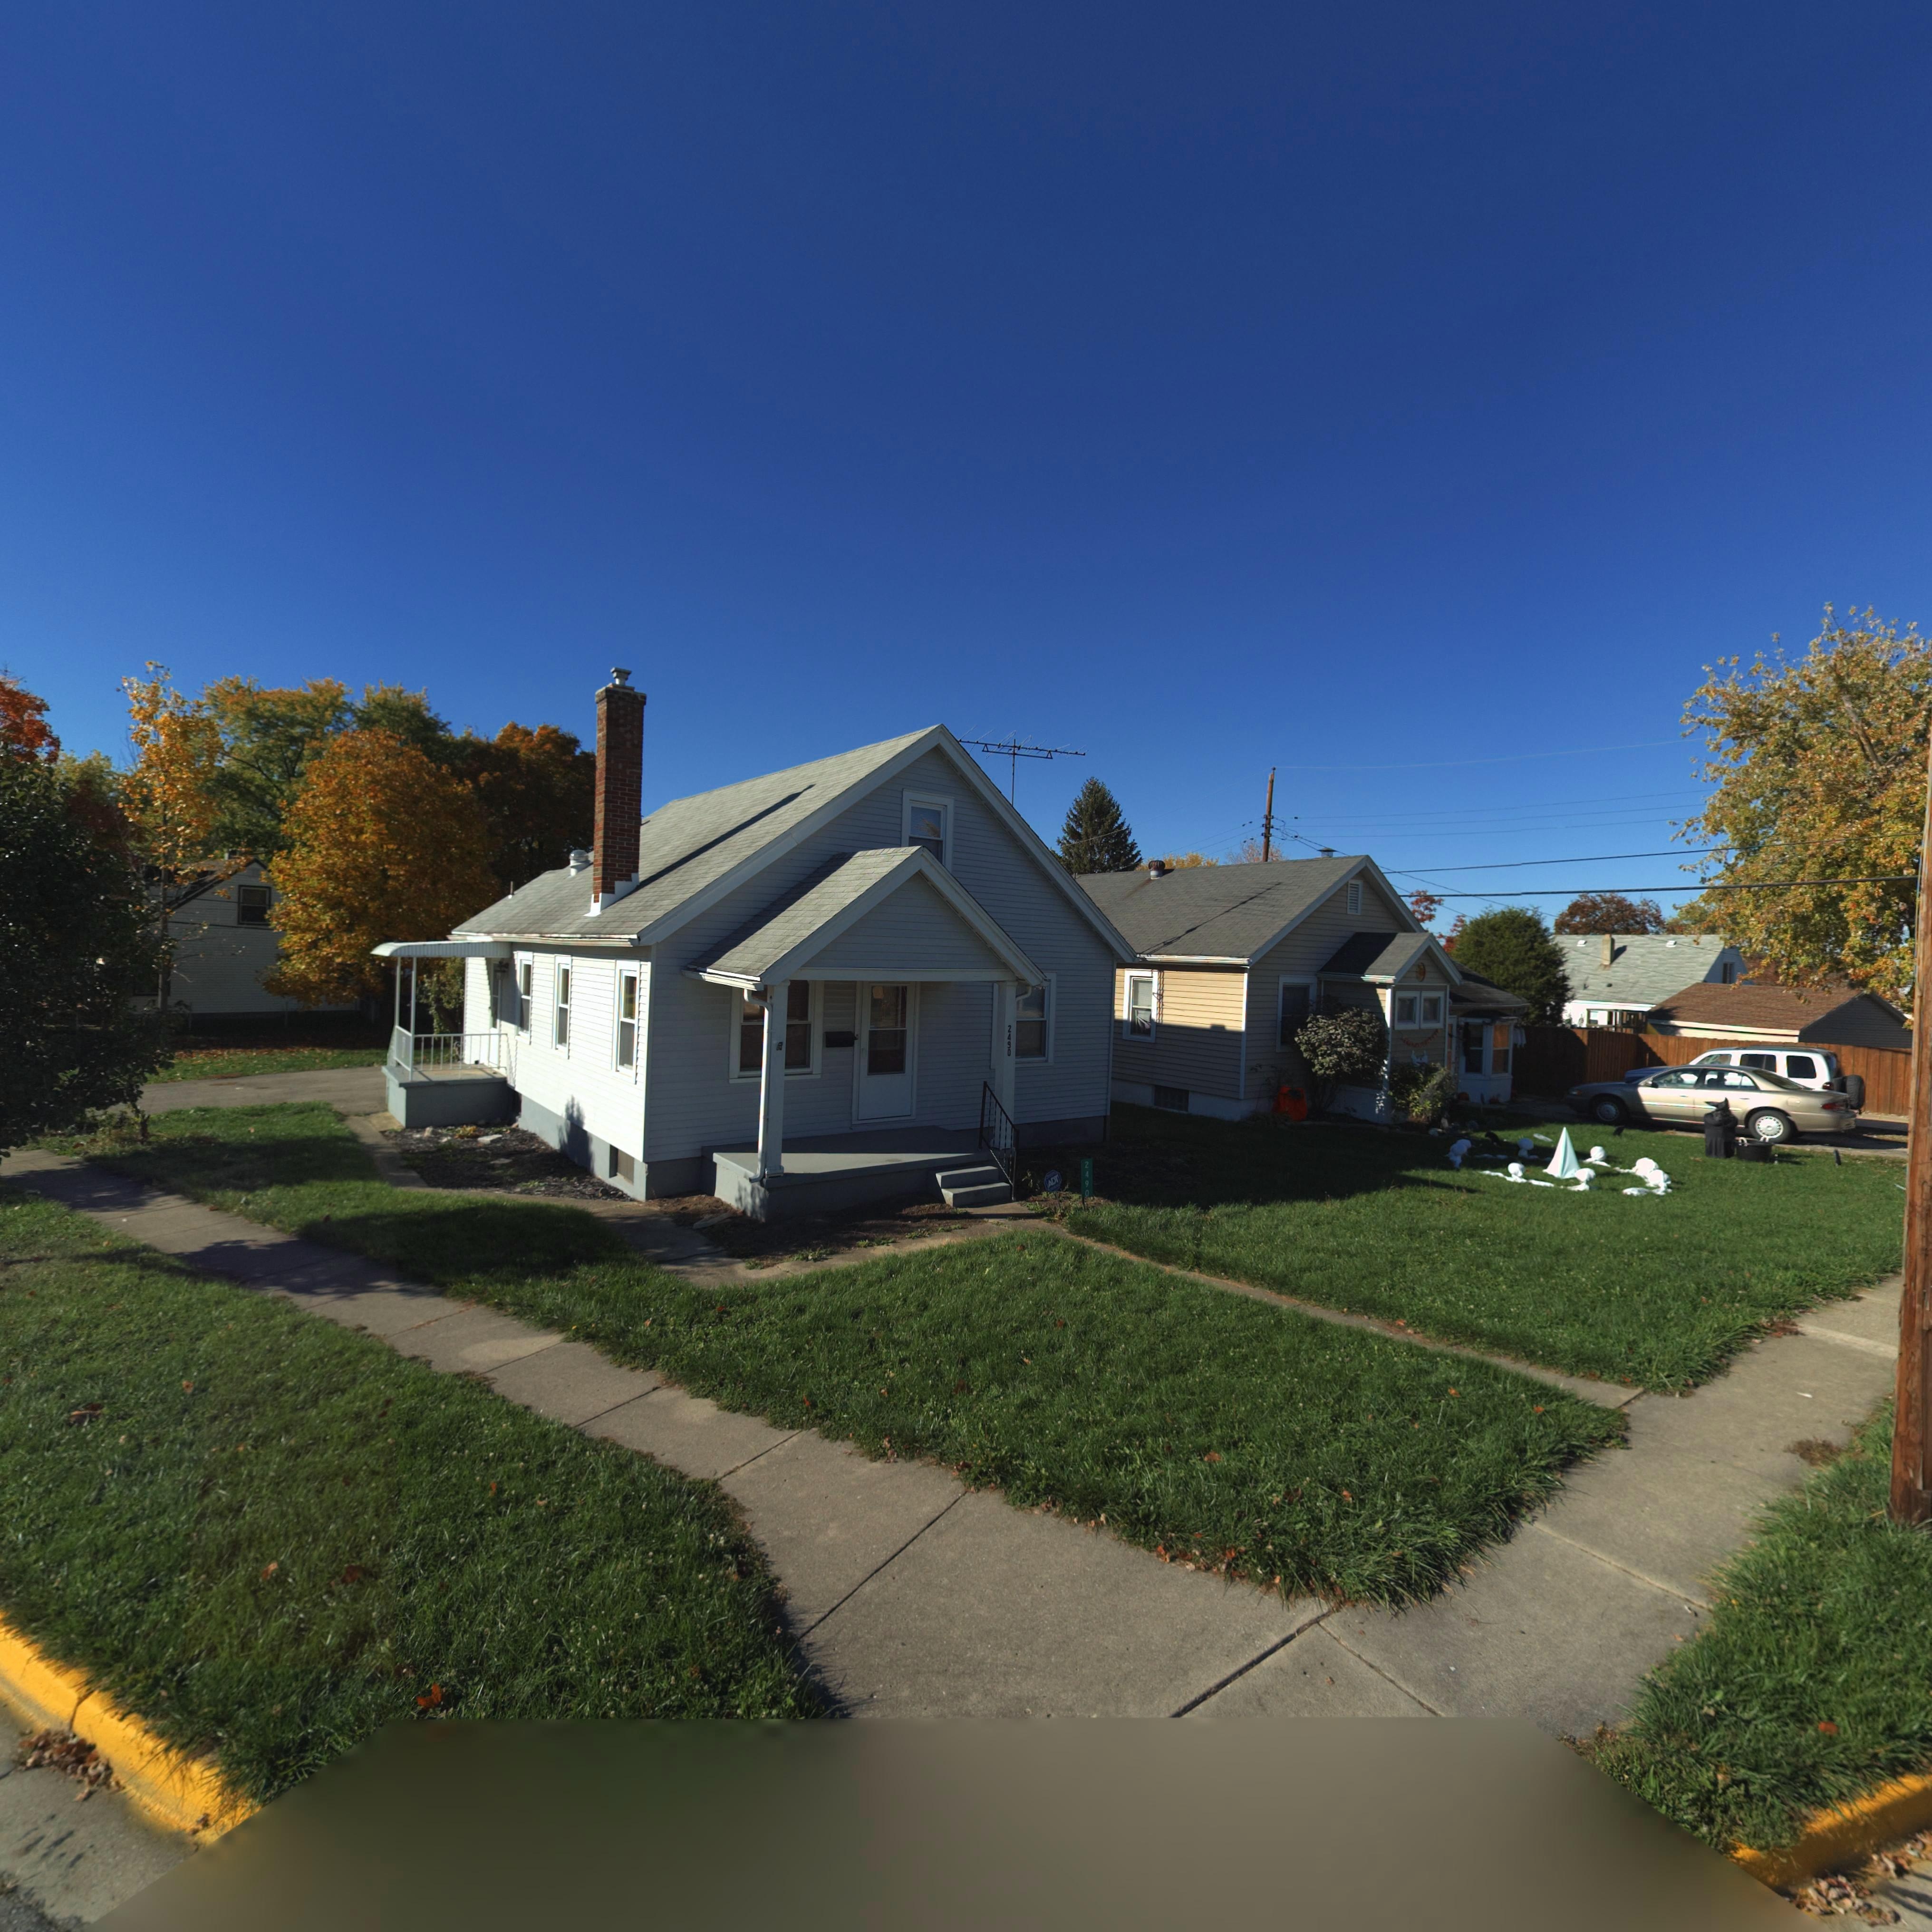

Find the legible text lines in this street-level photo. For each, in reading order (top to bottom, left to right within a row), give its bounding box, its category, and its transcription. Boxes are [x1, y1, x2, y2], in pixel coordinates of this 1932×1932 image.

[1006, 1024, 1012, 1057] StreetNumber: 2490
[1084, 1160, 1090, 1197] StreetNumber: 2490